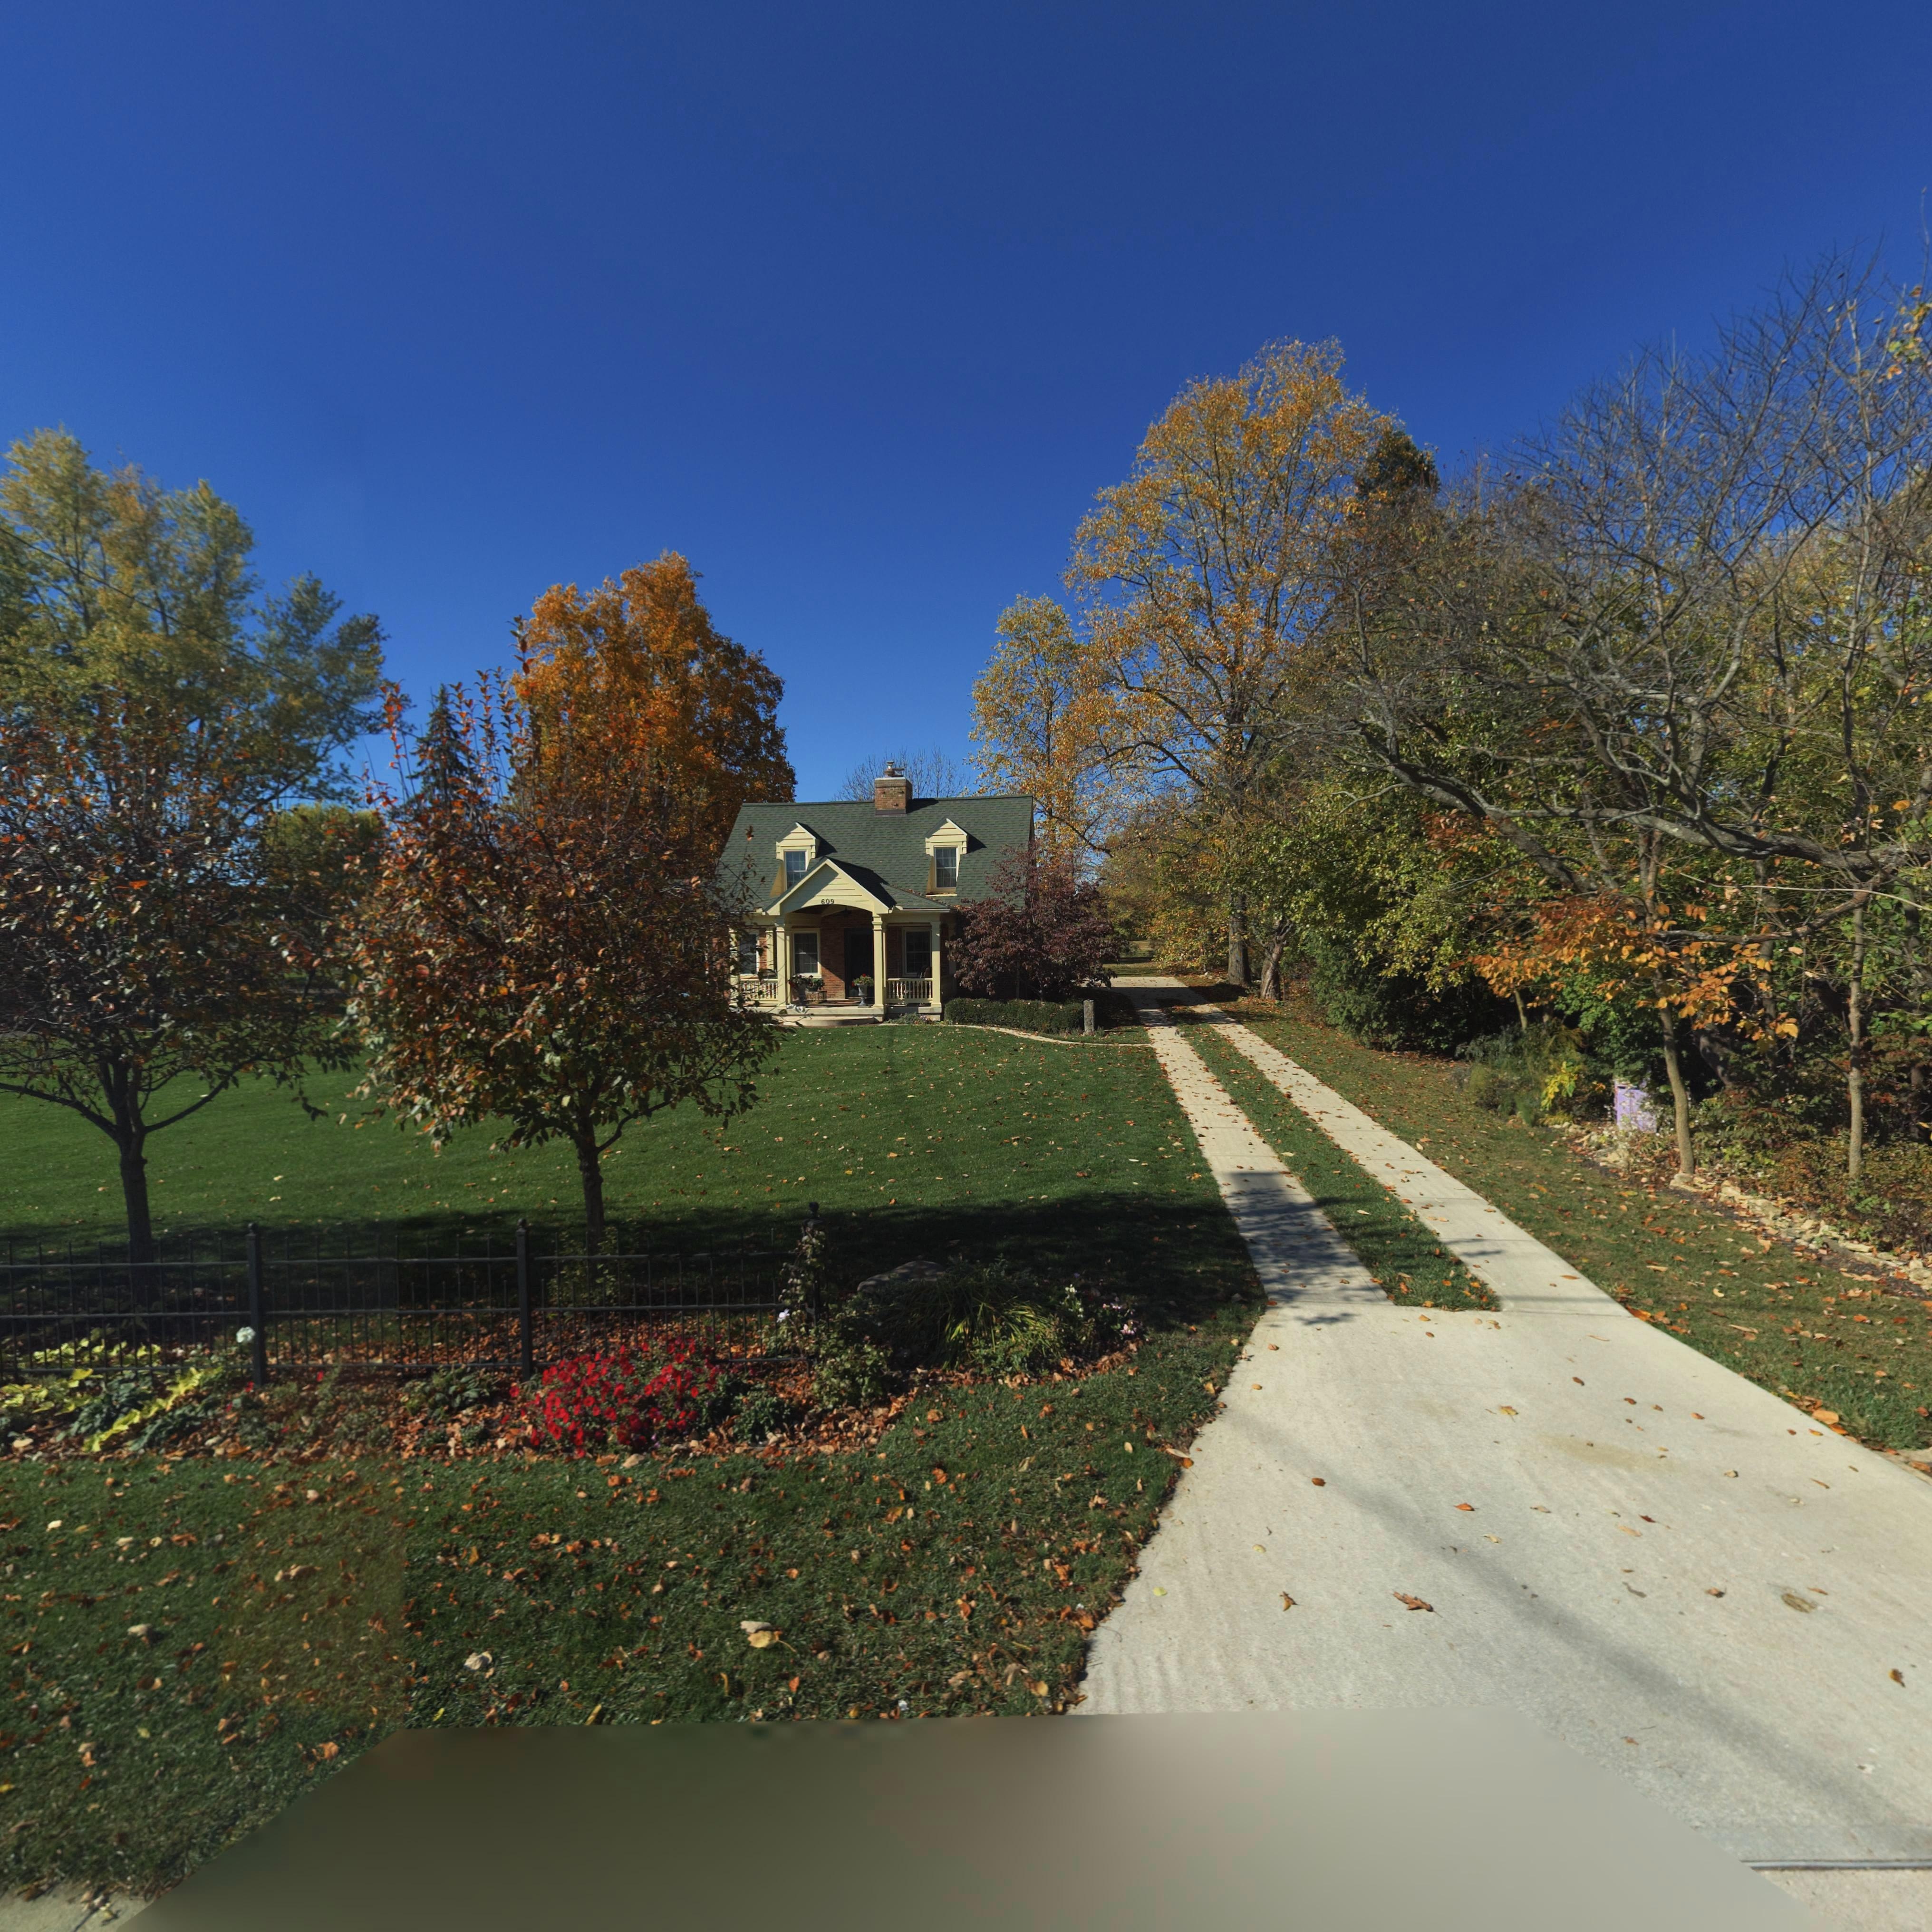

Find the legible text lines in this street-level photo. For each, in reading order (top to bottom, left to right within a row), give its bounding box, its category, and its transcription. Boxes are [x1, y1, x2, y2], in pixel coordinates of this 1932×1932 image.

[821, 898, 835, 905] StreetNumber: 609